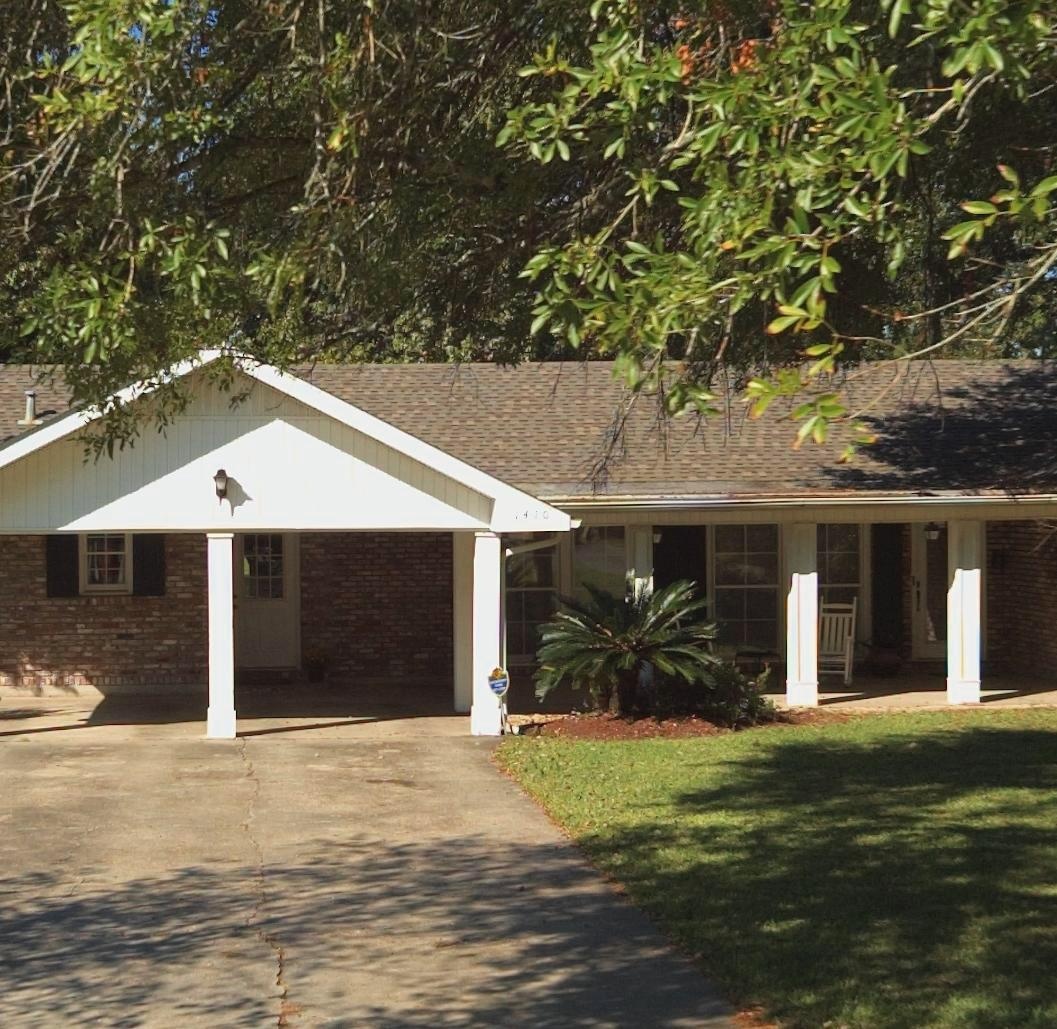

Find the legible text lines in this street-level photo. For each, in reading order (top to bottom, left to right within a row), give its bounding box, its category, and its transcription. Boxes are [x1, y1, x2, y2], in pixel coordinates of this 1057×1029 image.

[513, 507, 551, 522] StreetNumber: 1410